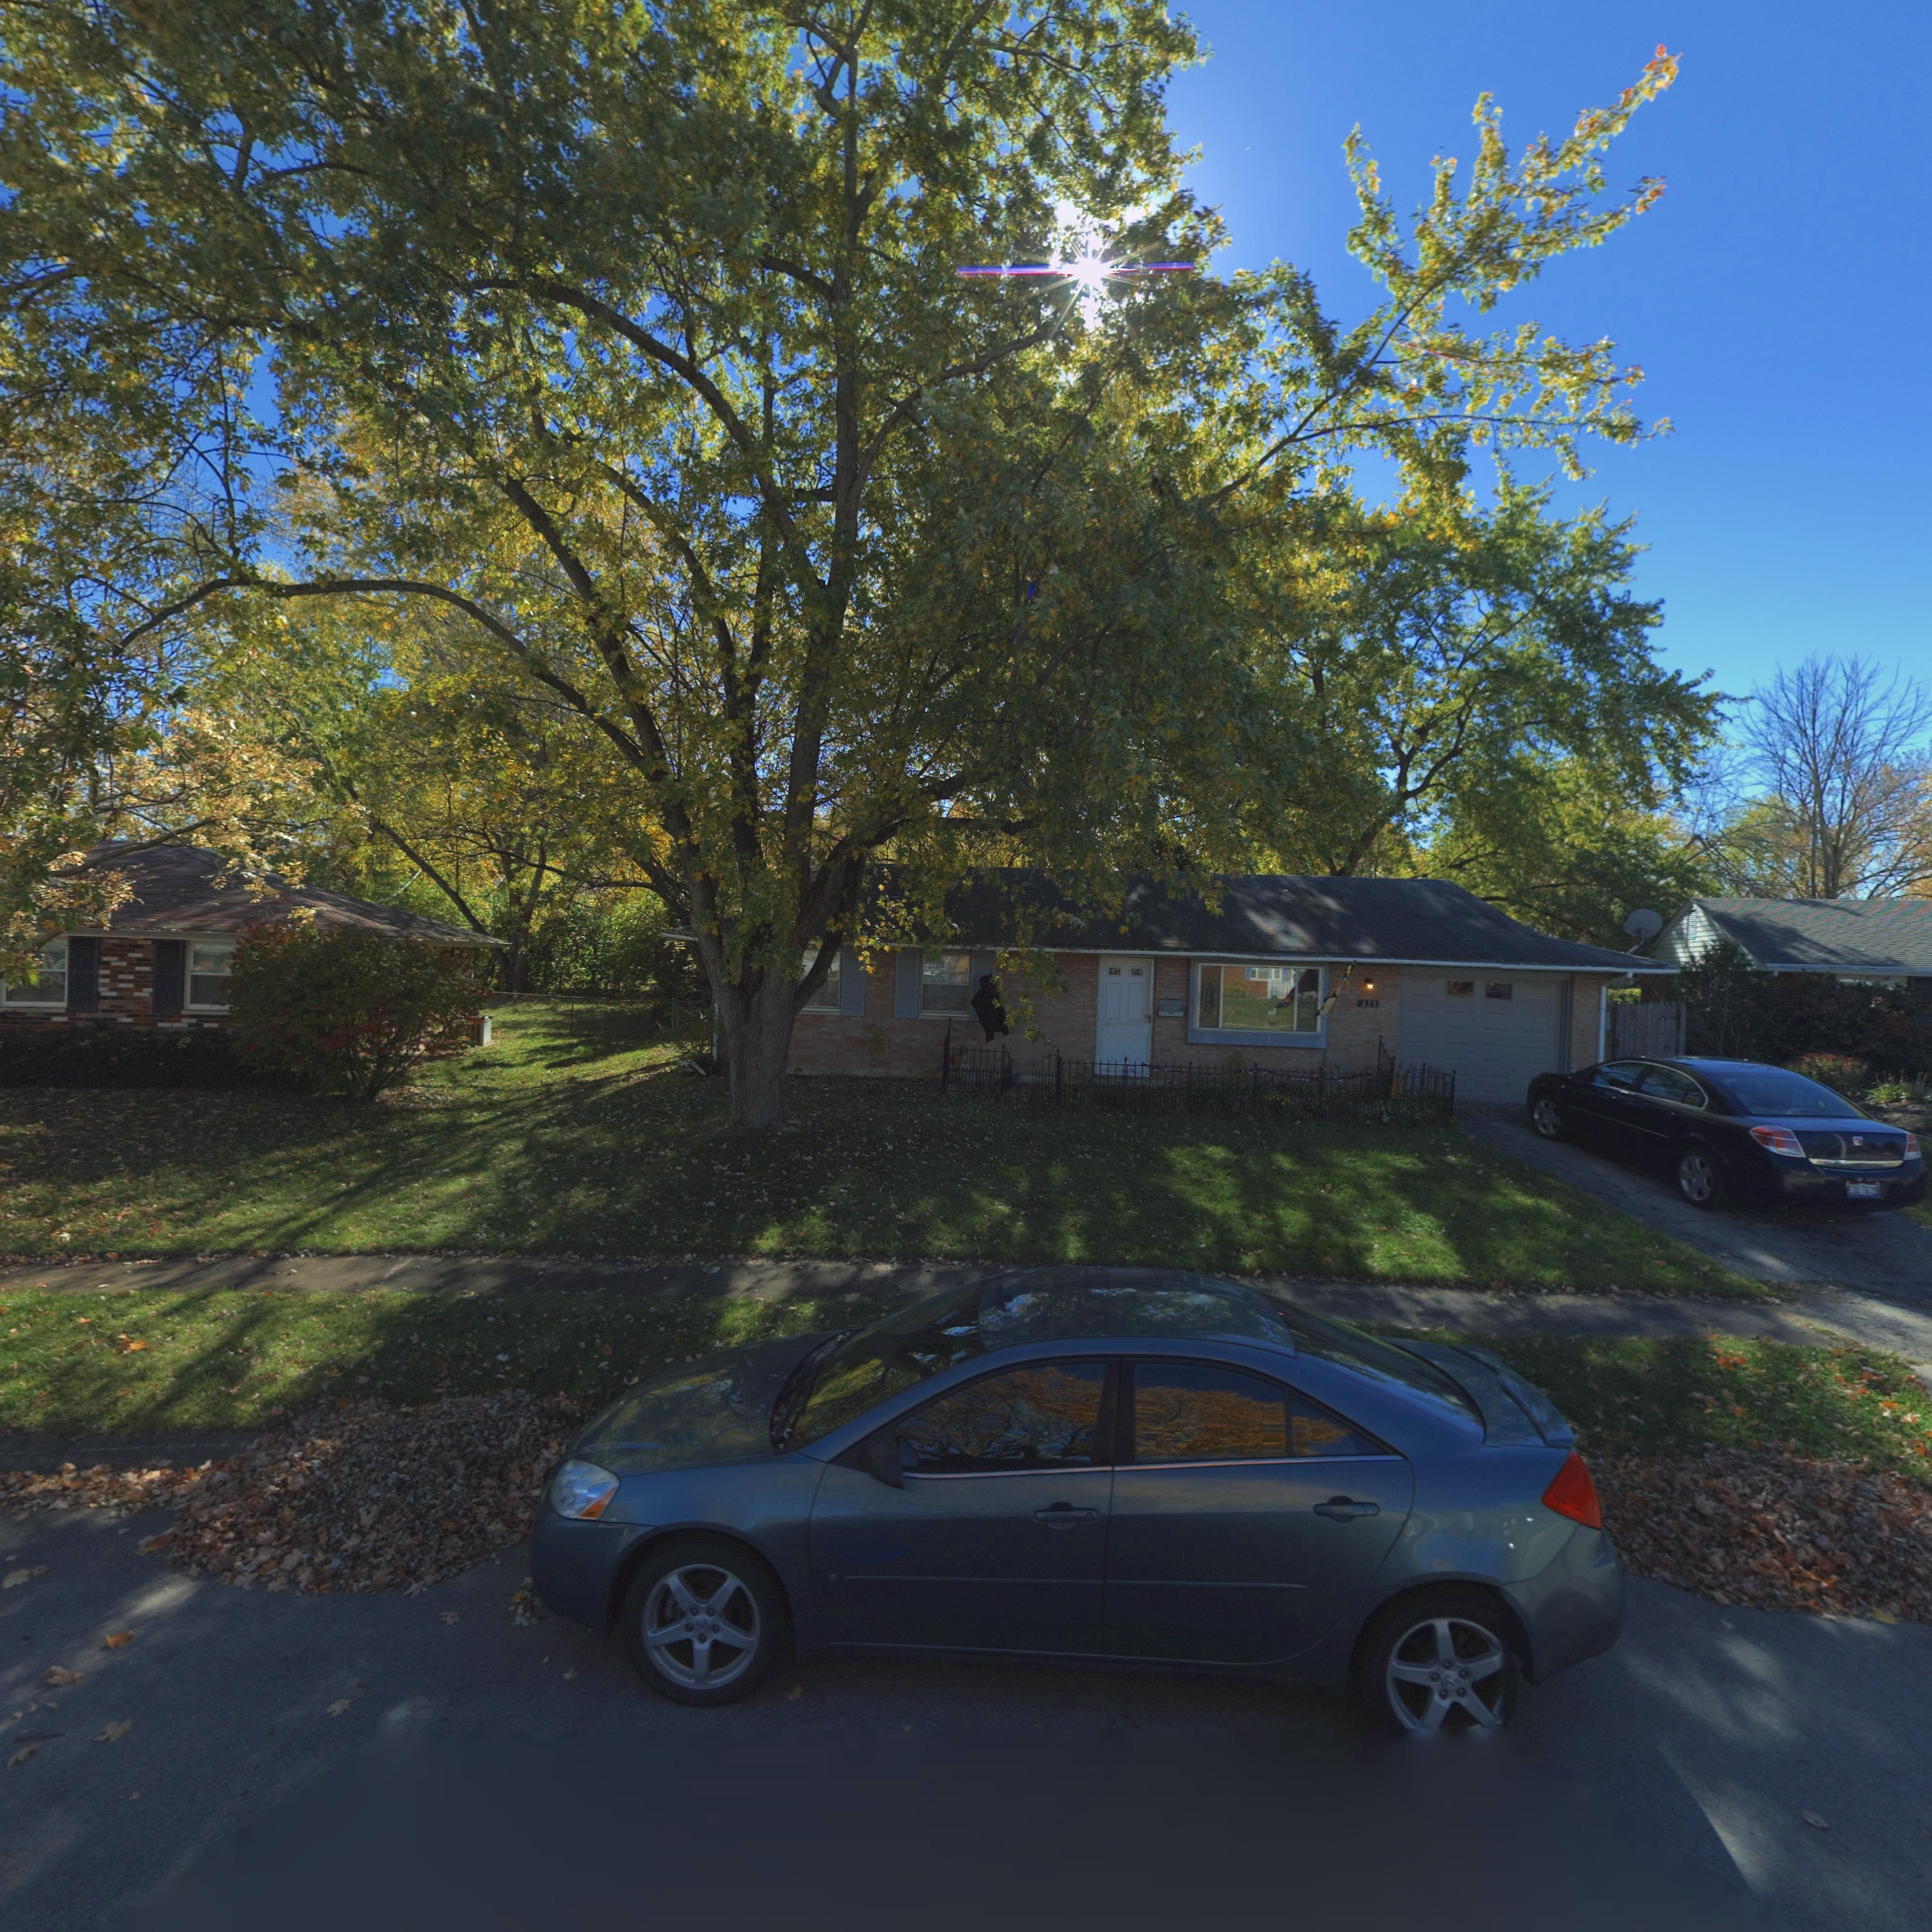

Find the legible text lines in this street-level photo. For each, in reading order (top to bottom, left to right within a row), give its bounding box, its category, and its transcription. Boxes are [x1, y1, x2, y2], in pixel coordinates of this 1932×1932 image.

[1360, 999, 1378, 1008] StreetNumber: 335